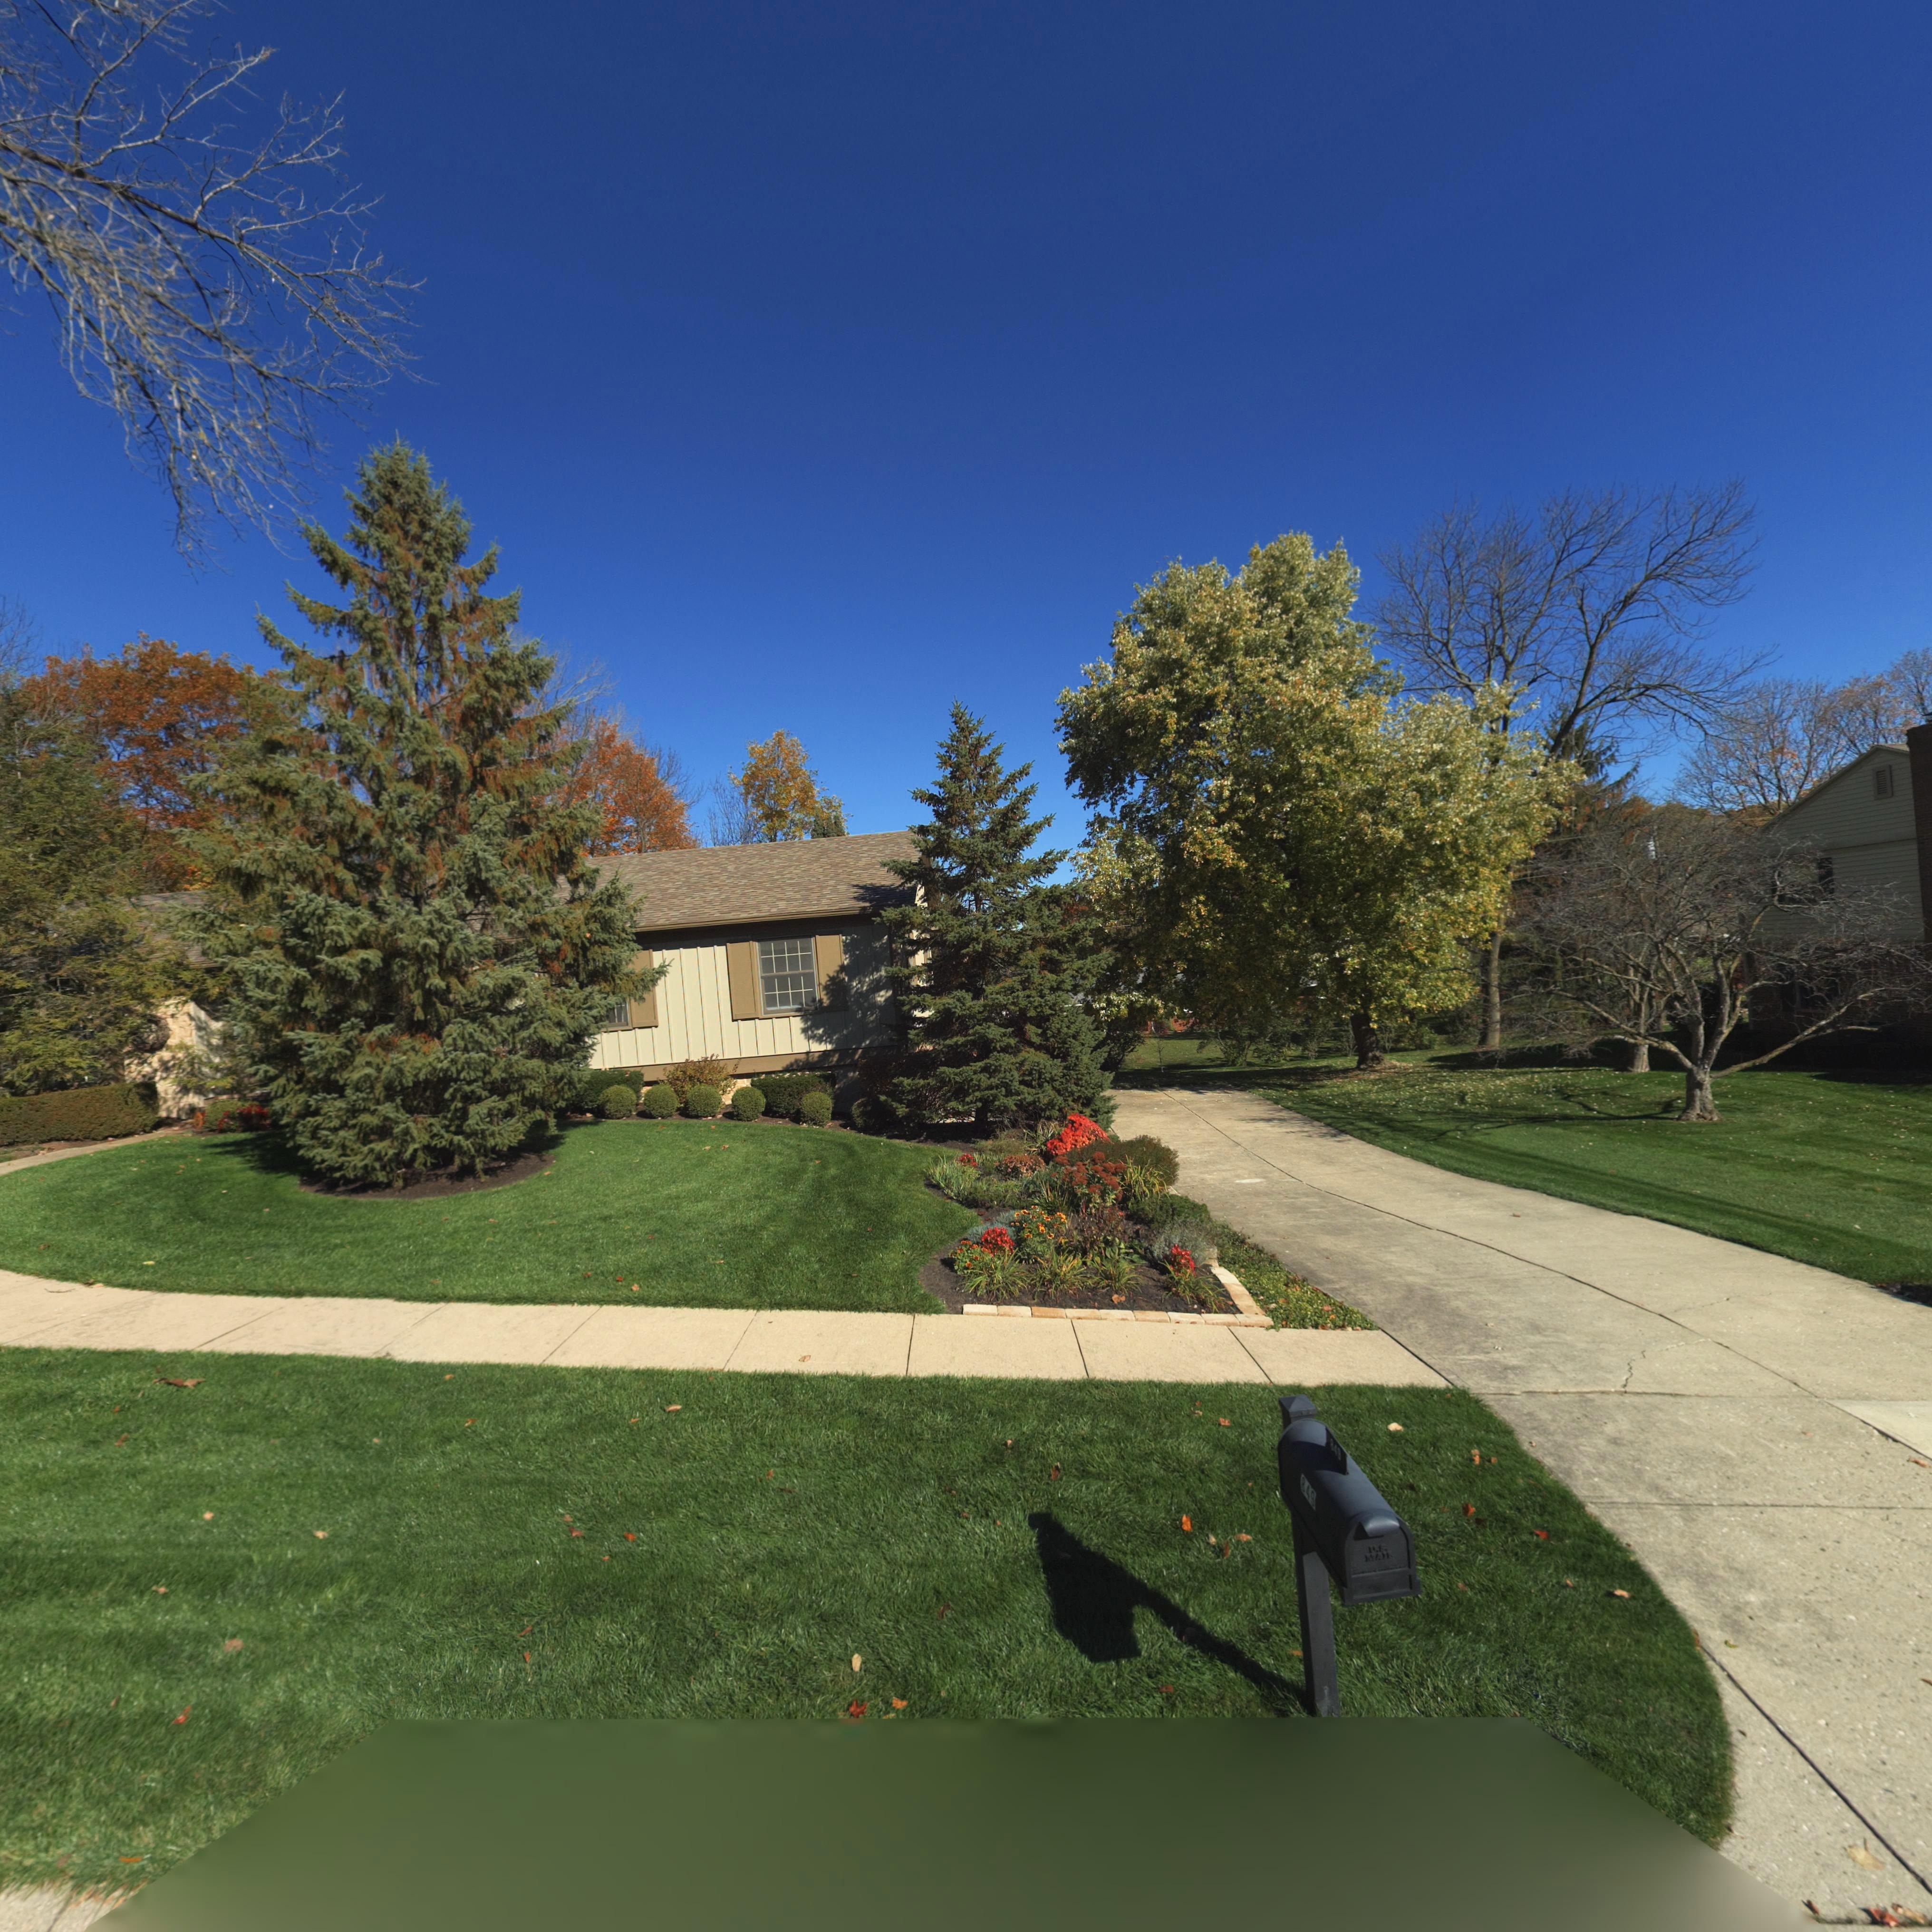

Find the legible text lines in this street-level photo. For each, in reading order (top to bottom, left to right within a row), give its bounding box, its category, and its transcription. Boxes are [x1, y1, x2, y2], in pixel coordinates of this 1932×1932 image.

[1329, 1437, 1343, 1462] StreetNumber: 84*
[1300, 1473, 1316, 1509] StreetNumber: 849